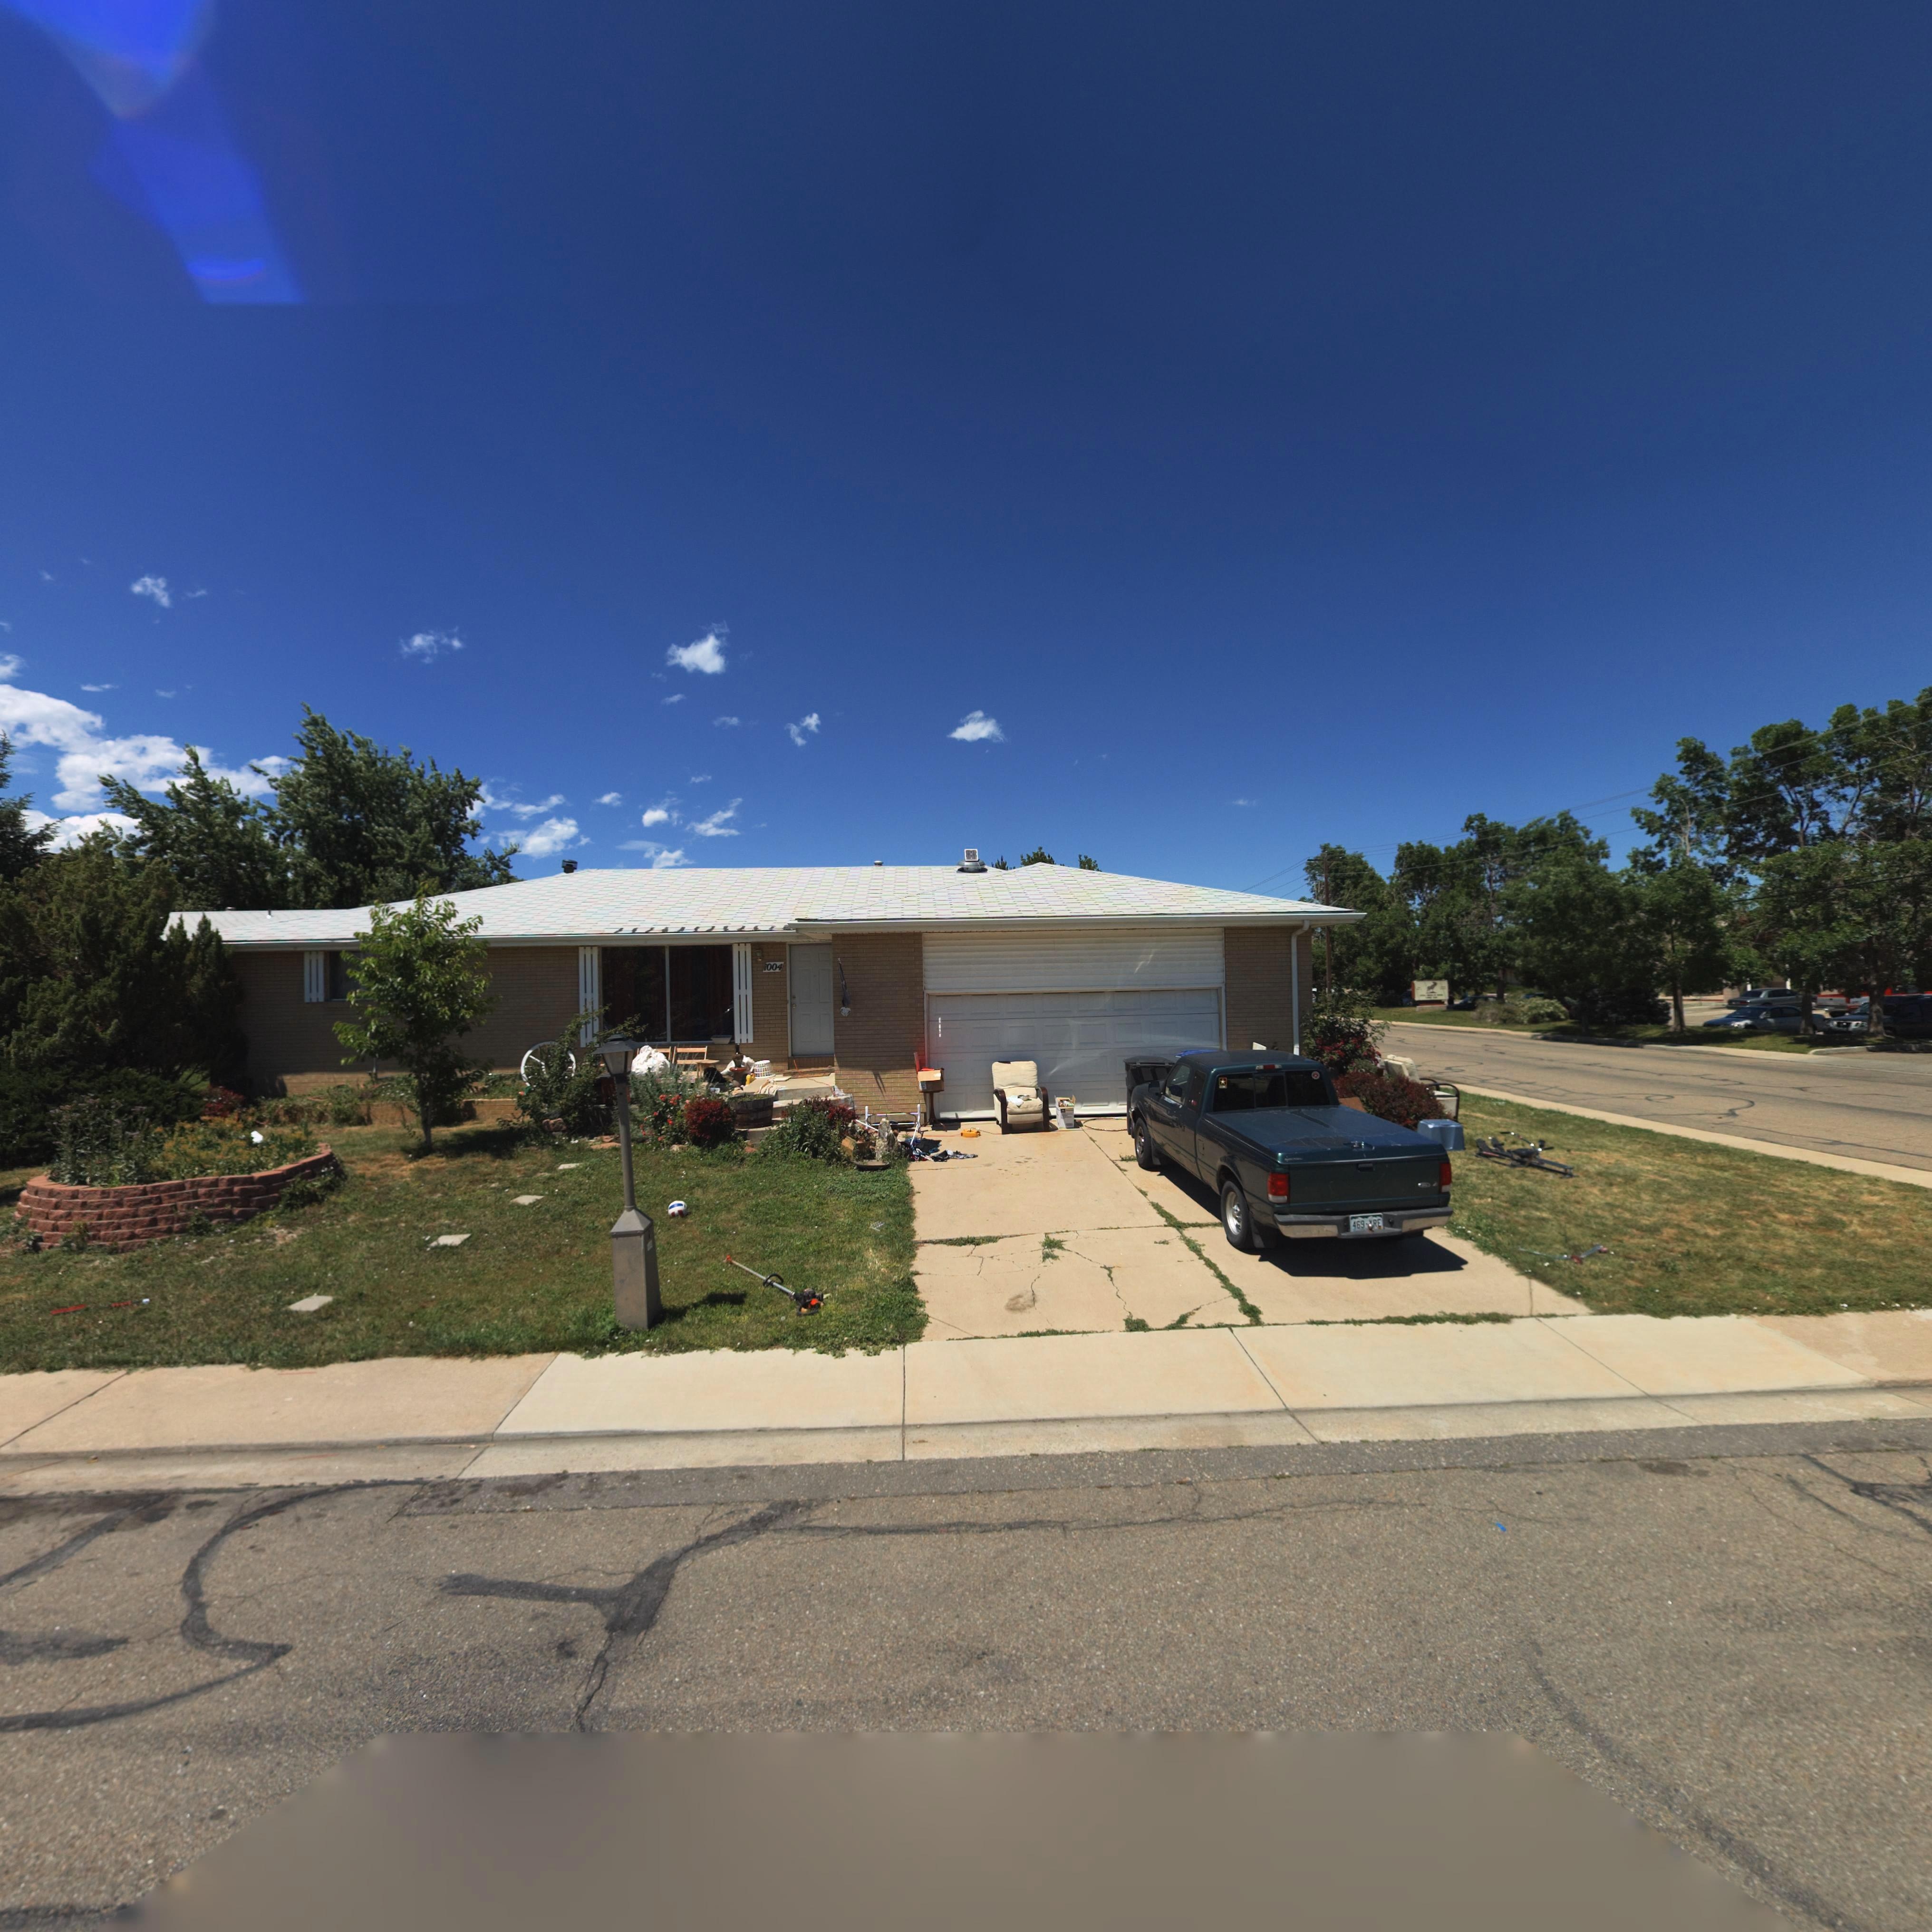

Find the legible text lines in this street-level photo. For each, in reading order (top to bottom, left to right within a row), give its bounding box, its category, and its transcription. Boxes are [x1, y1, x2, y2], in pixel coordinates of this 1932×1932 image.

[763, 963, 783, 971] StreetNumber: 1004